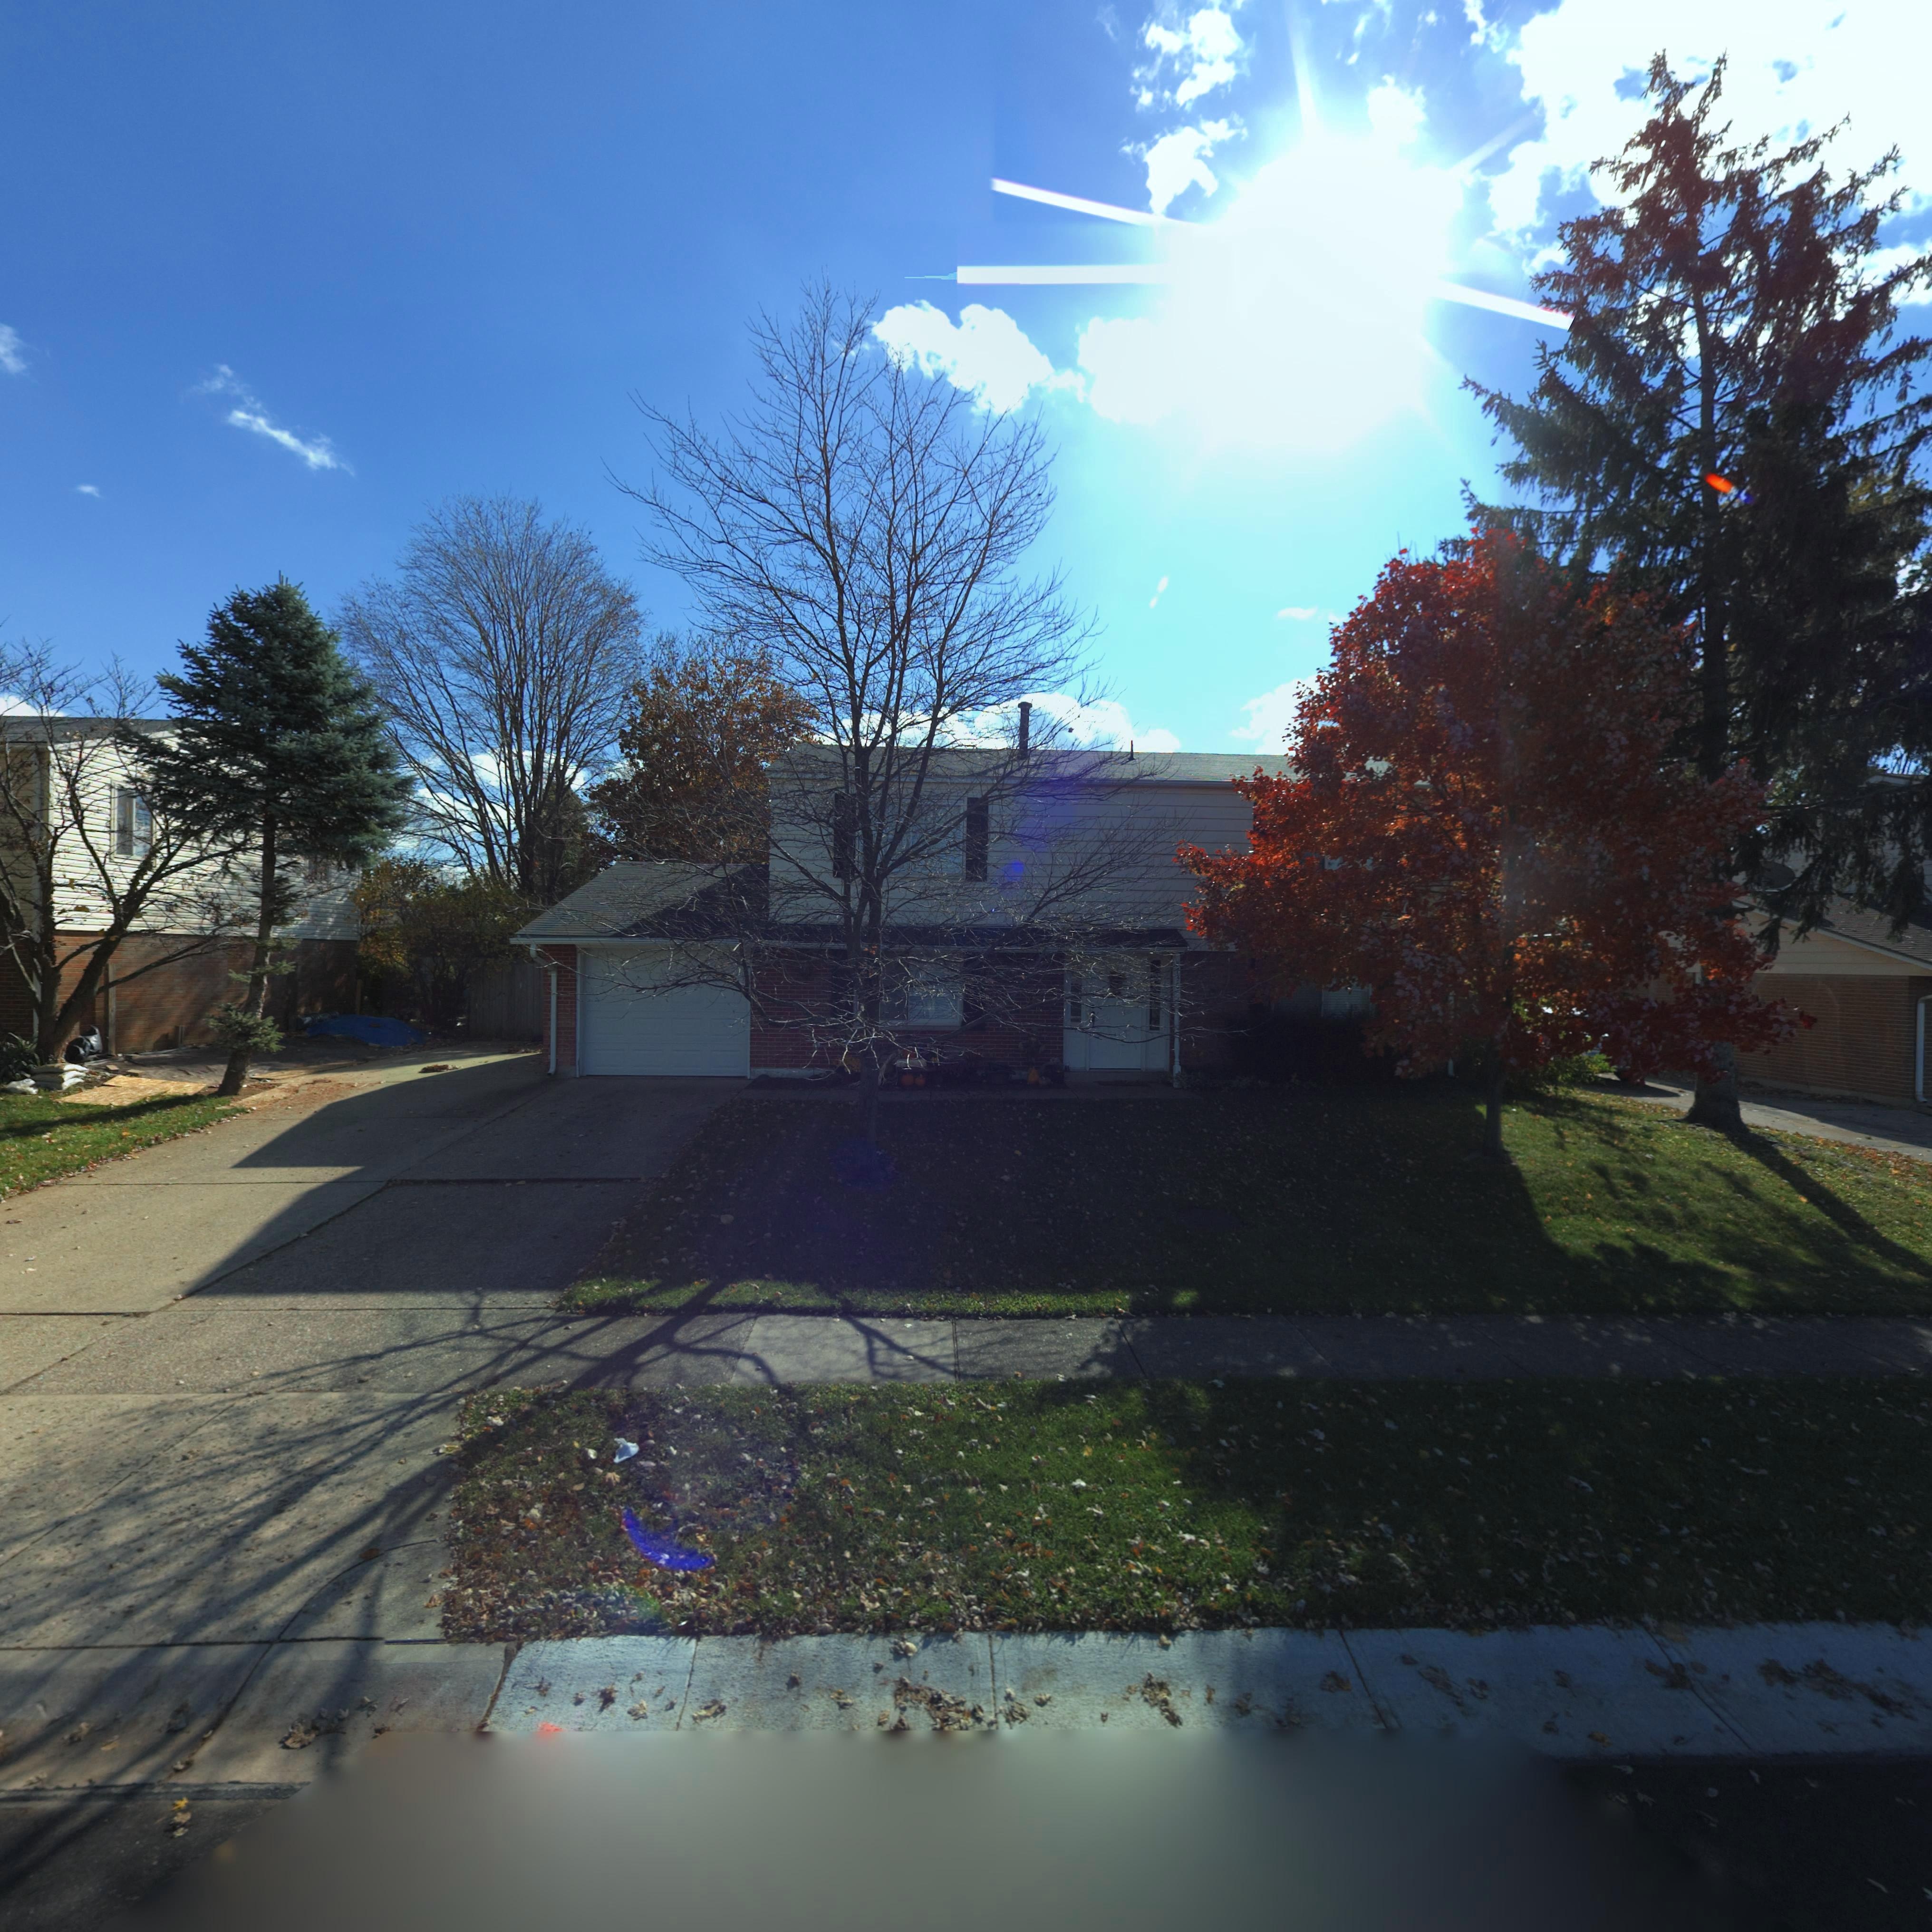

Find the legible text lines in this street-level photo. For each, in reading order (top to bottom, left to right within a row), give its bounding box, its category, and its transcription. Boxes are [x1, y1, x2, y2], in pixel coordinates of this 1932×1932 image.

[1175, 967, 1179, 982] StreetNumber: 73